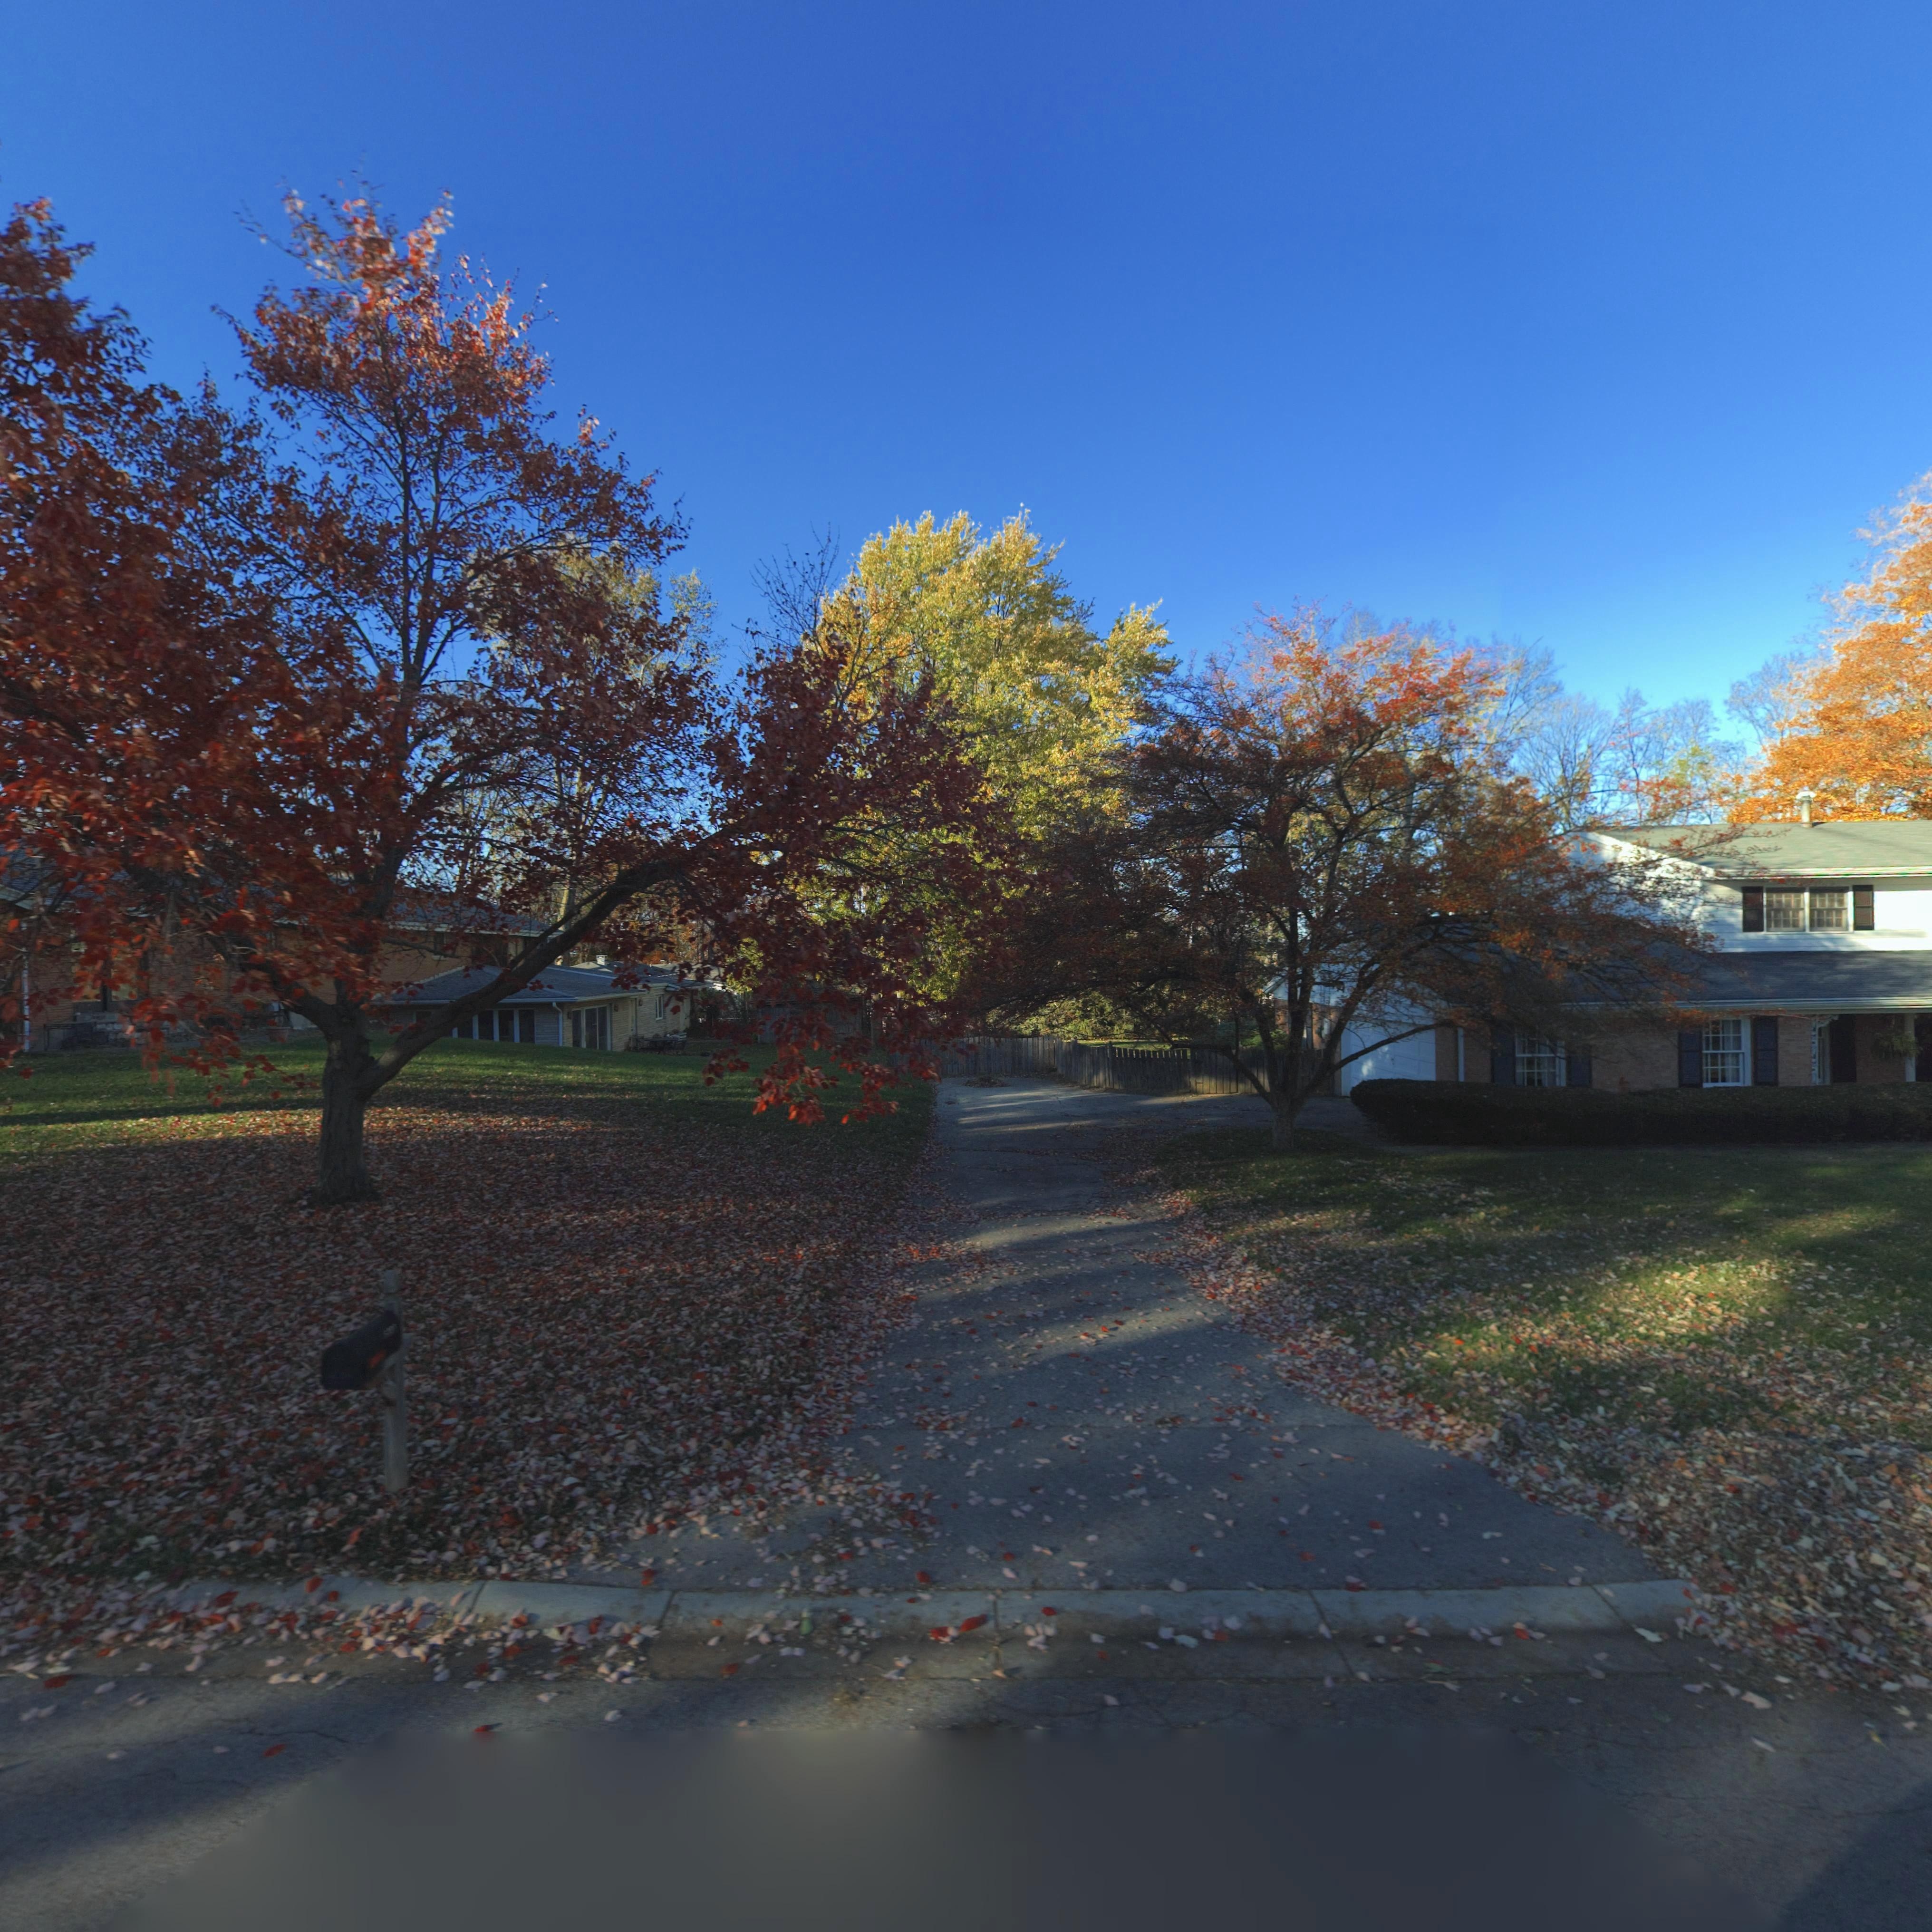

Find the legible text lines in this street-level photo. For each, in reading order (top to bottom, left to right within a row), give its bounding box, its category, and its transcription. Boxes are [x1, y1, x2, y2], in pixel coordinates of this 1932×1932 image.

[381, 1321, 399, 1340] StreetNumber: 7*00